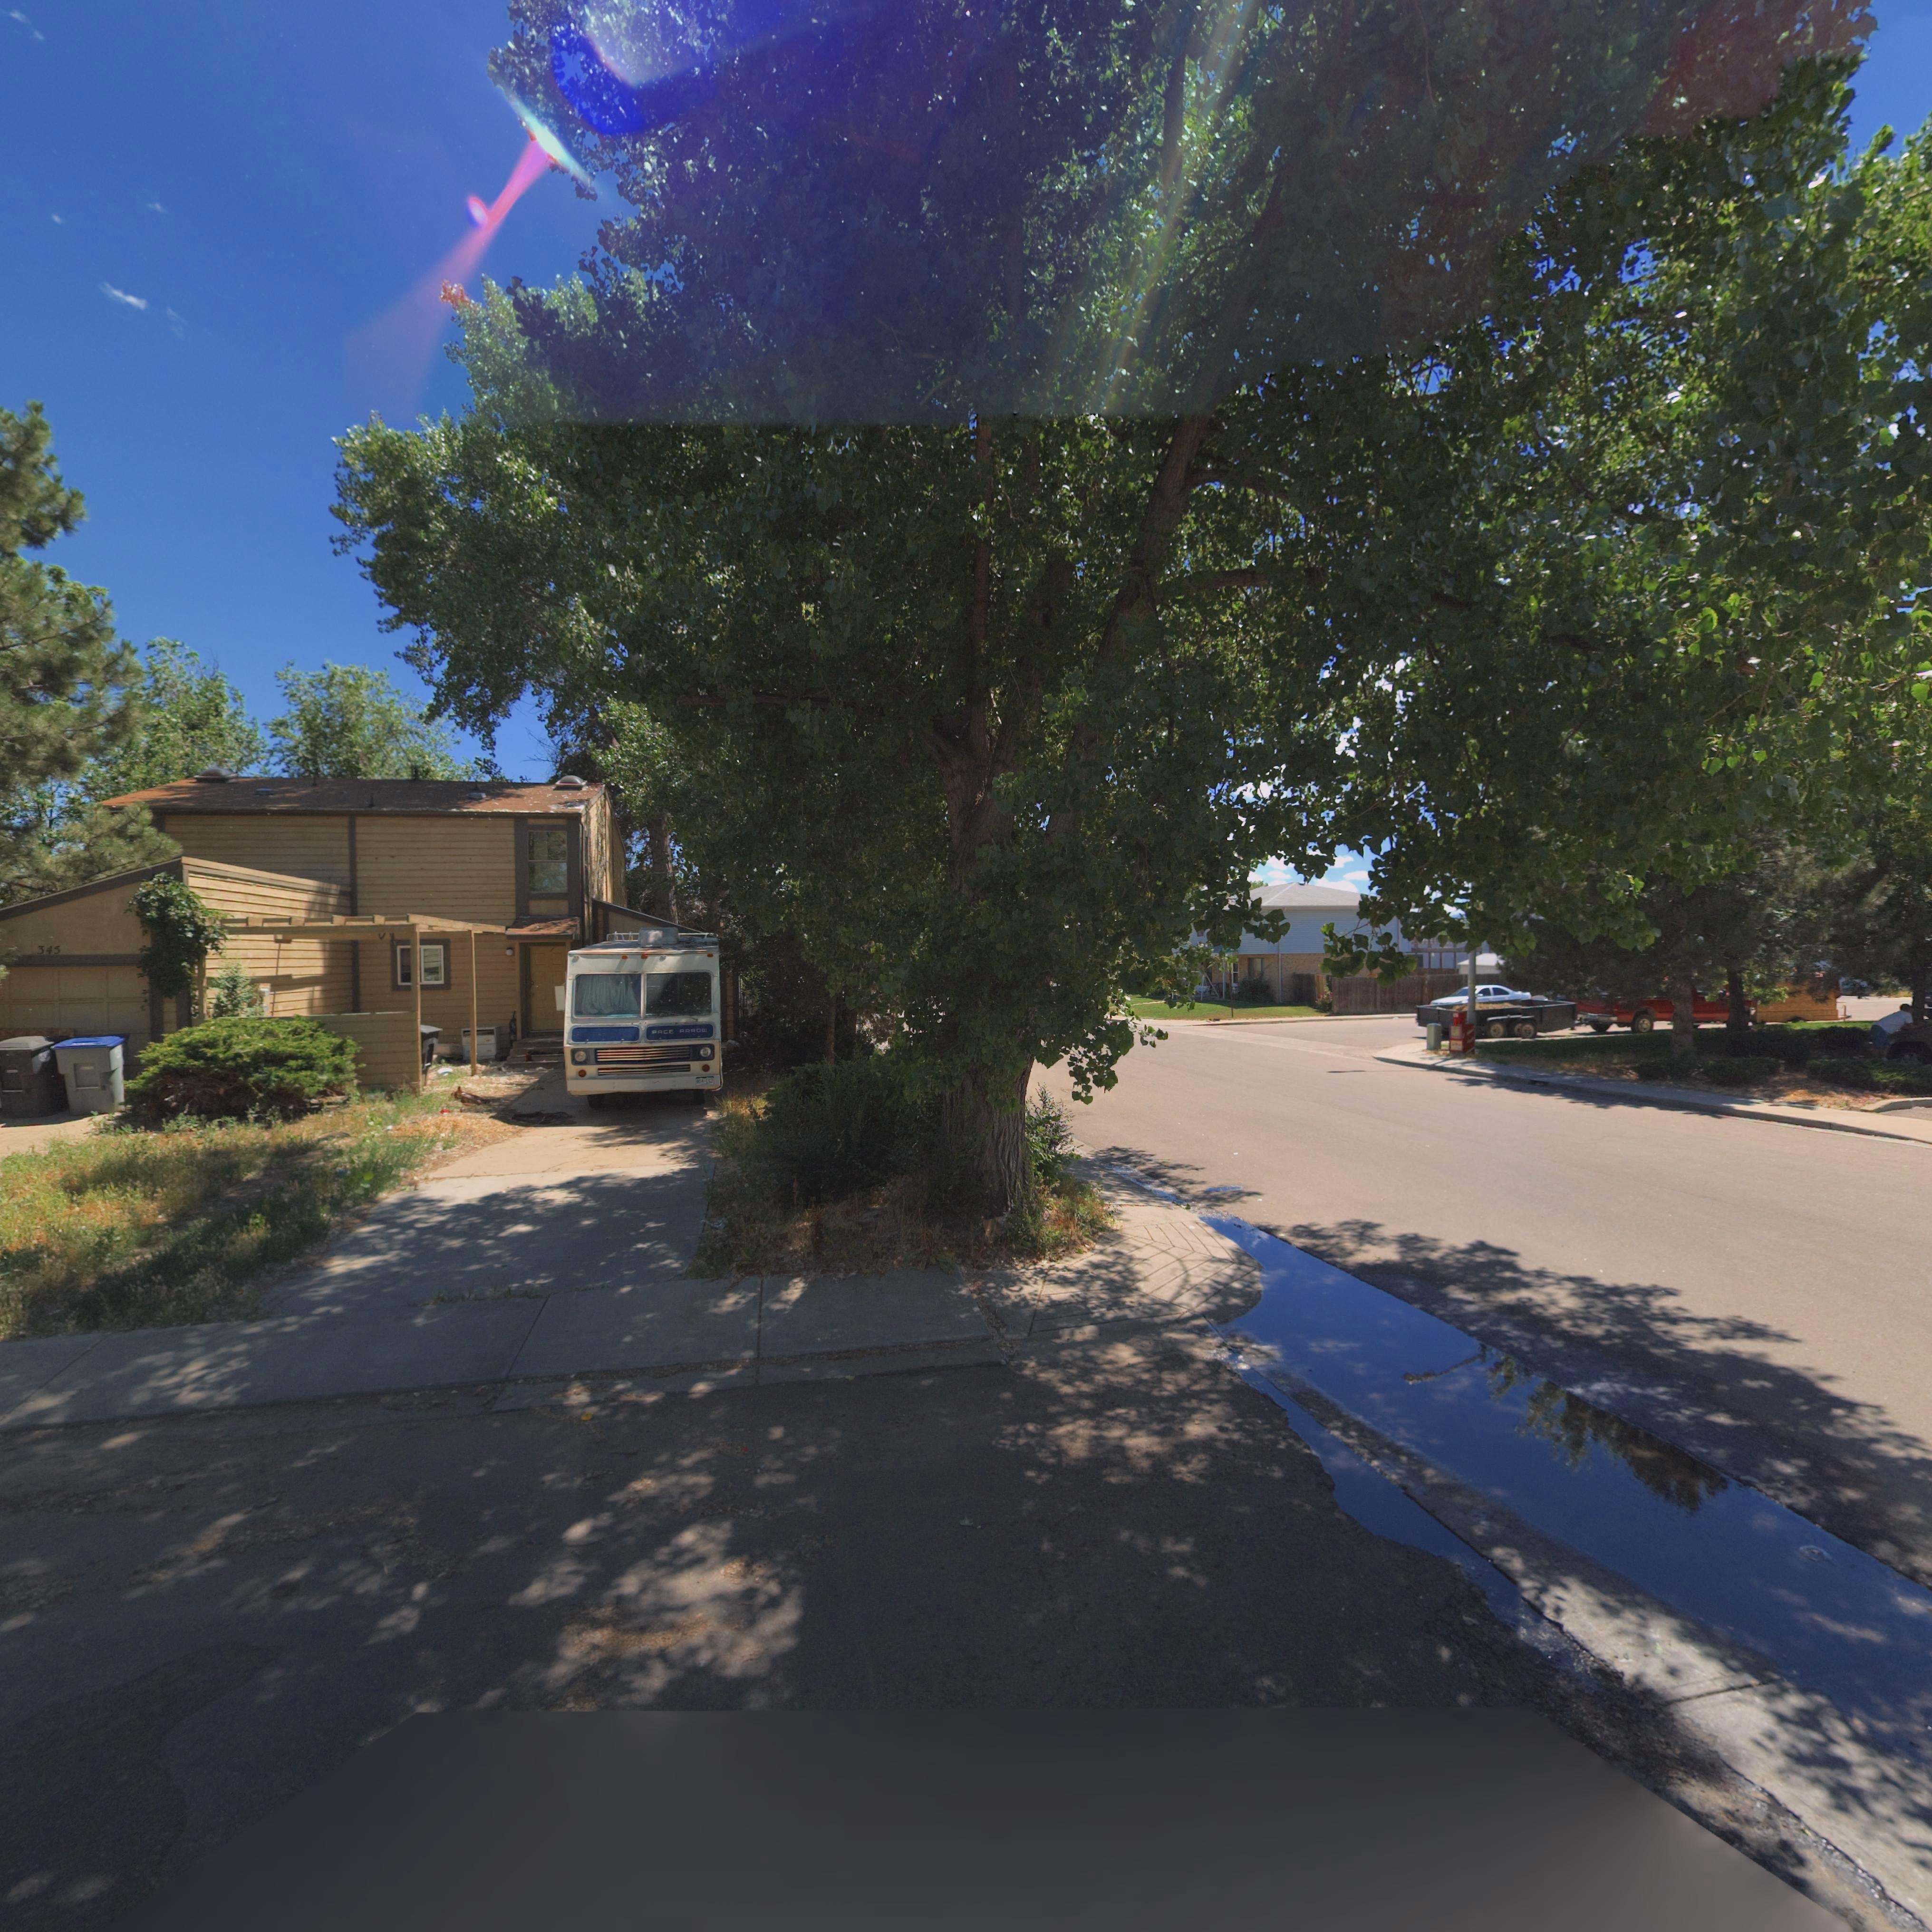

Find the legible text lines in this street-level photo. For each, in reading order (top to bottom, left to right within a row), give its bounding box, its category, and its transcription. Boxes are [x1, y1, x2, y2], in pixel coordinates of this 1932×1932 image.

[35, 945, 60, 955] StreetNumber: 345